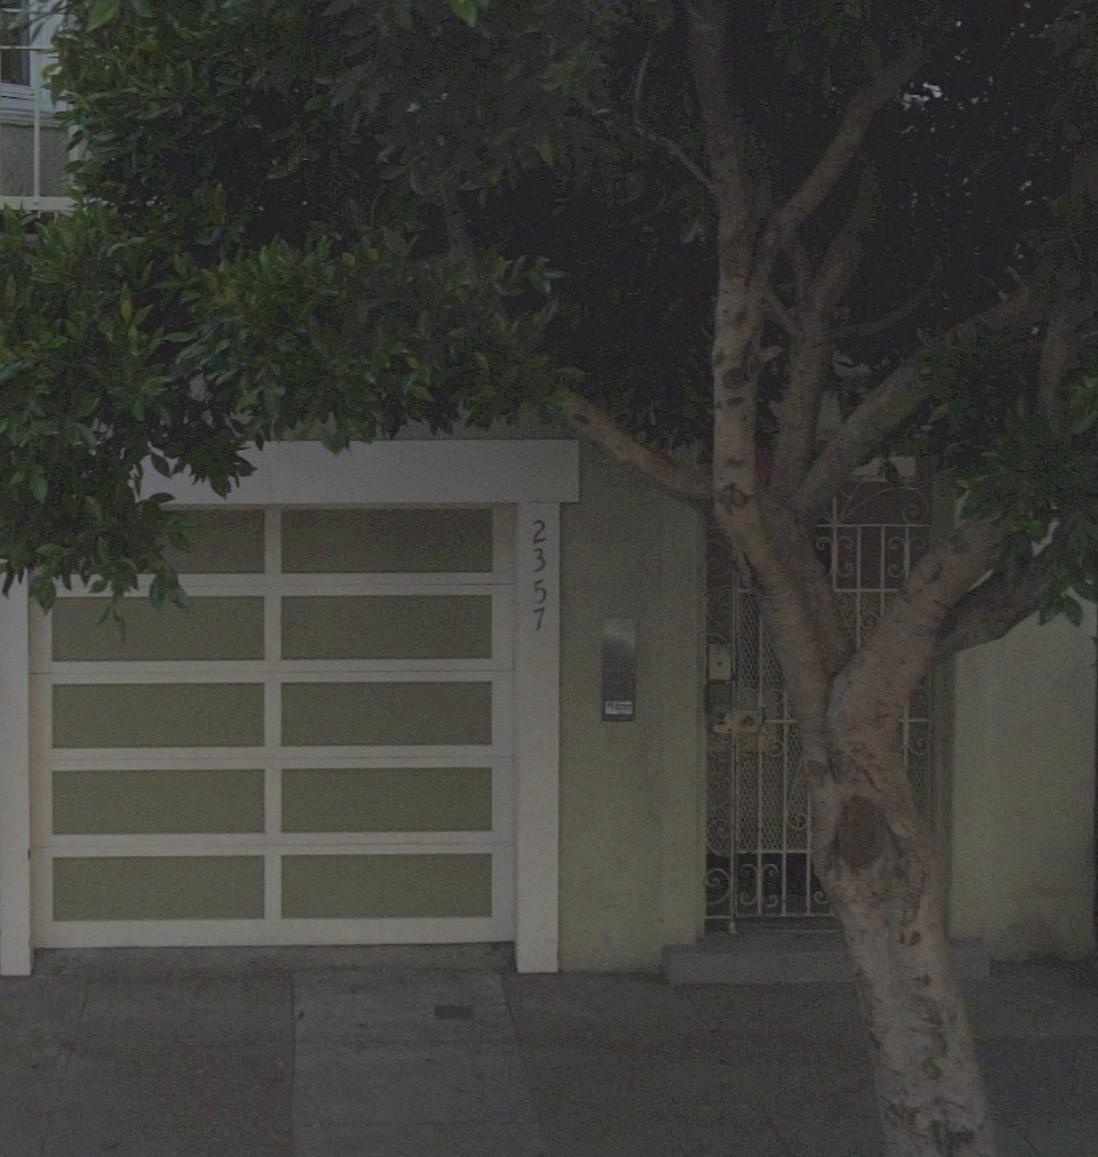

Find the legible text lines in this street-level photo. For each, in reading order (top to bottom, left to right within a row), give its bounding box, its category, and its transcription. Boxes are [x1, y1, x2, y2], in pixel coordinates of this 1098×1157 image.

[529, 517, 549, 634] StreetNumber: 2357